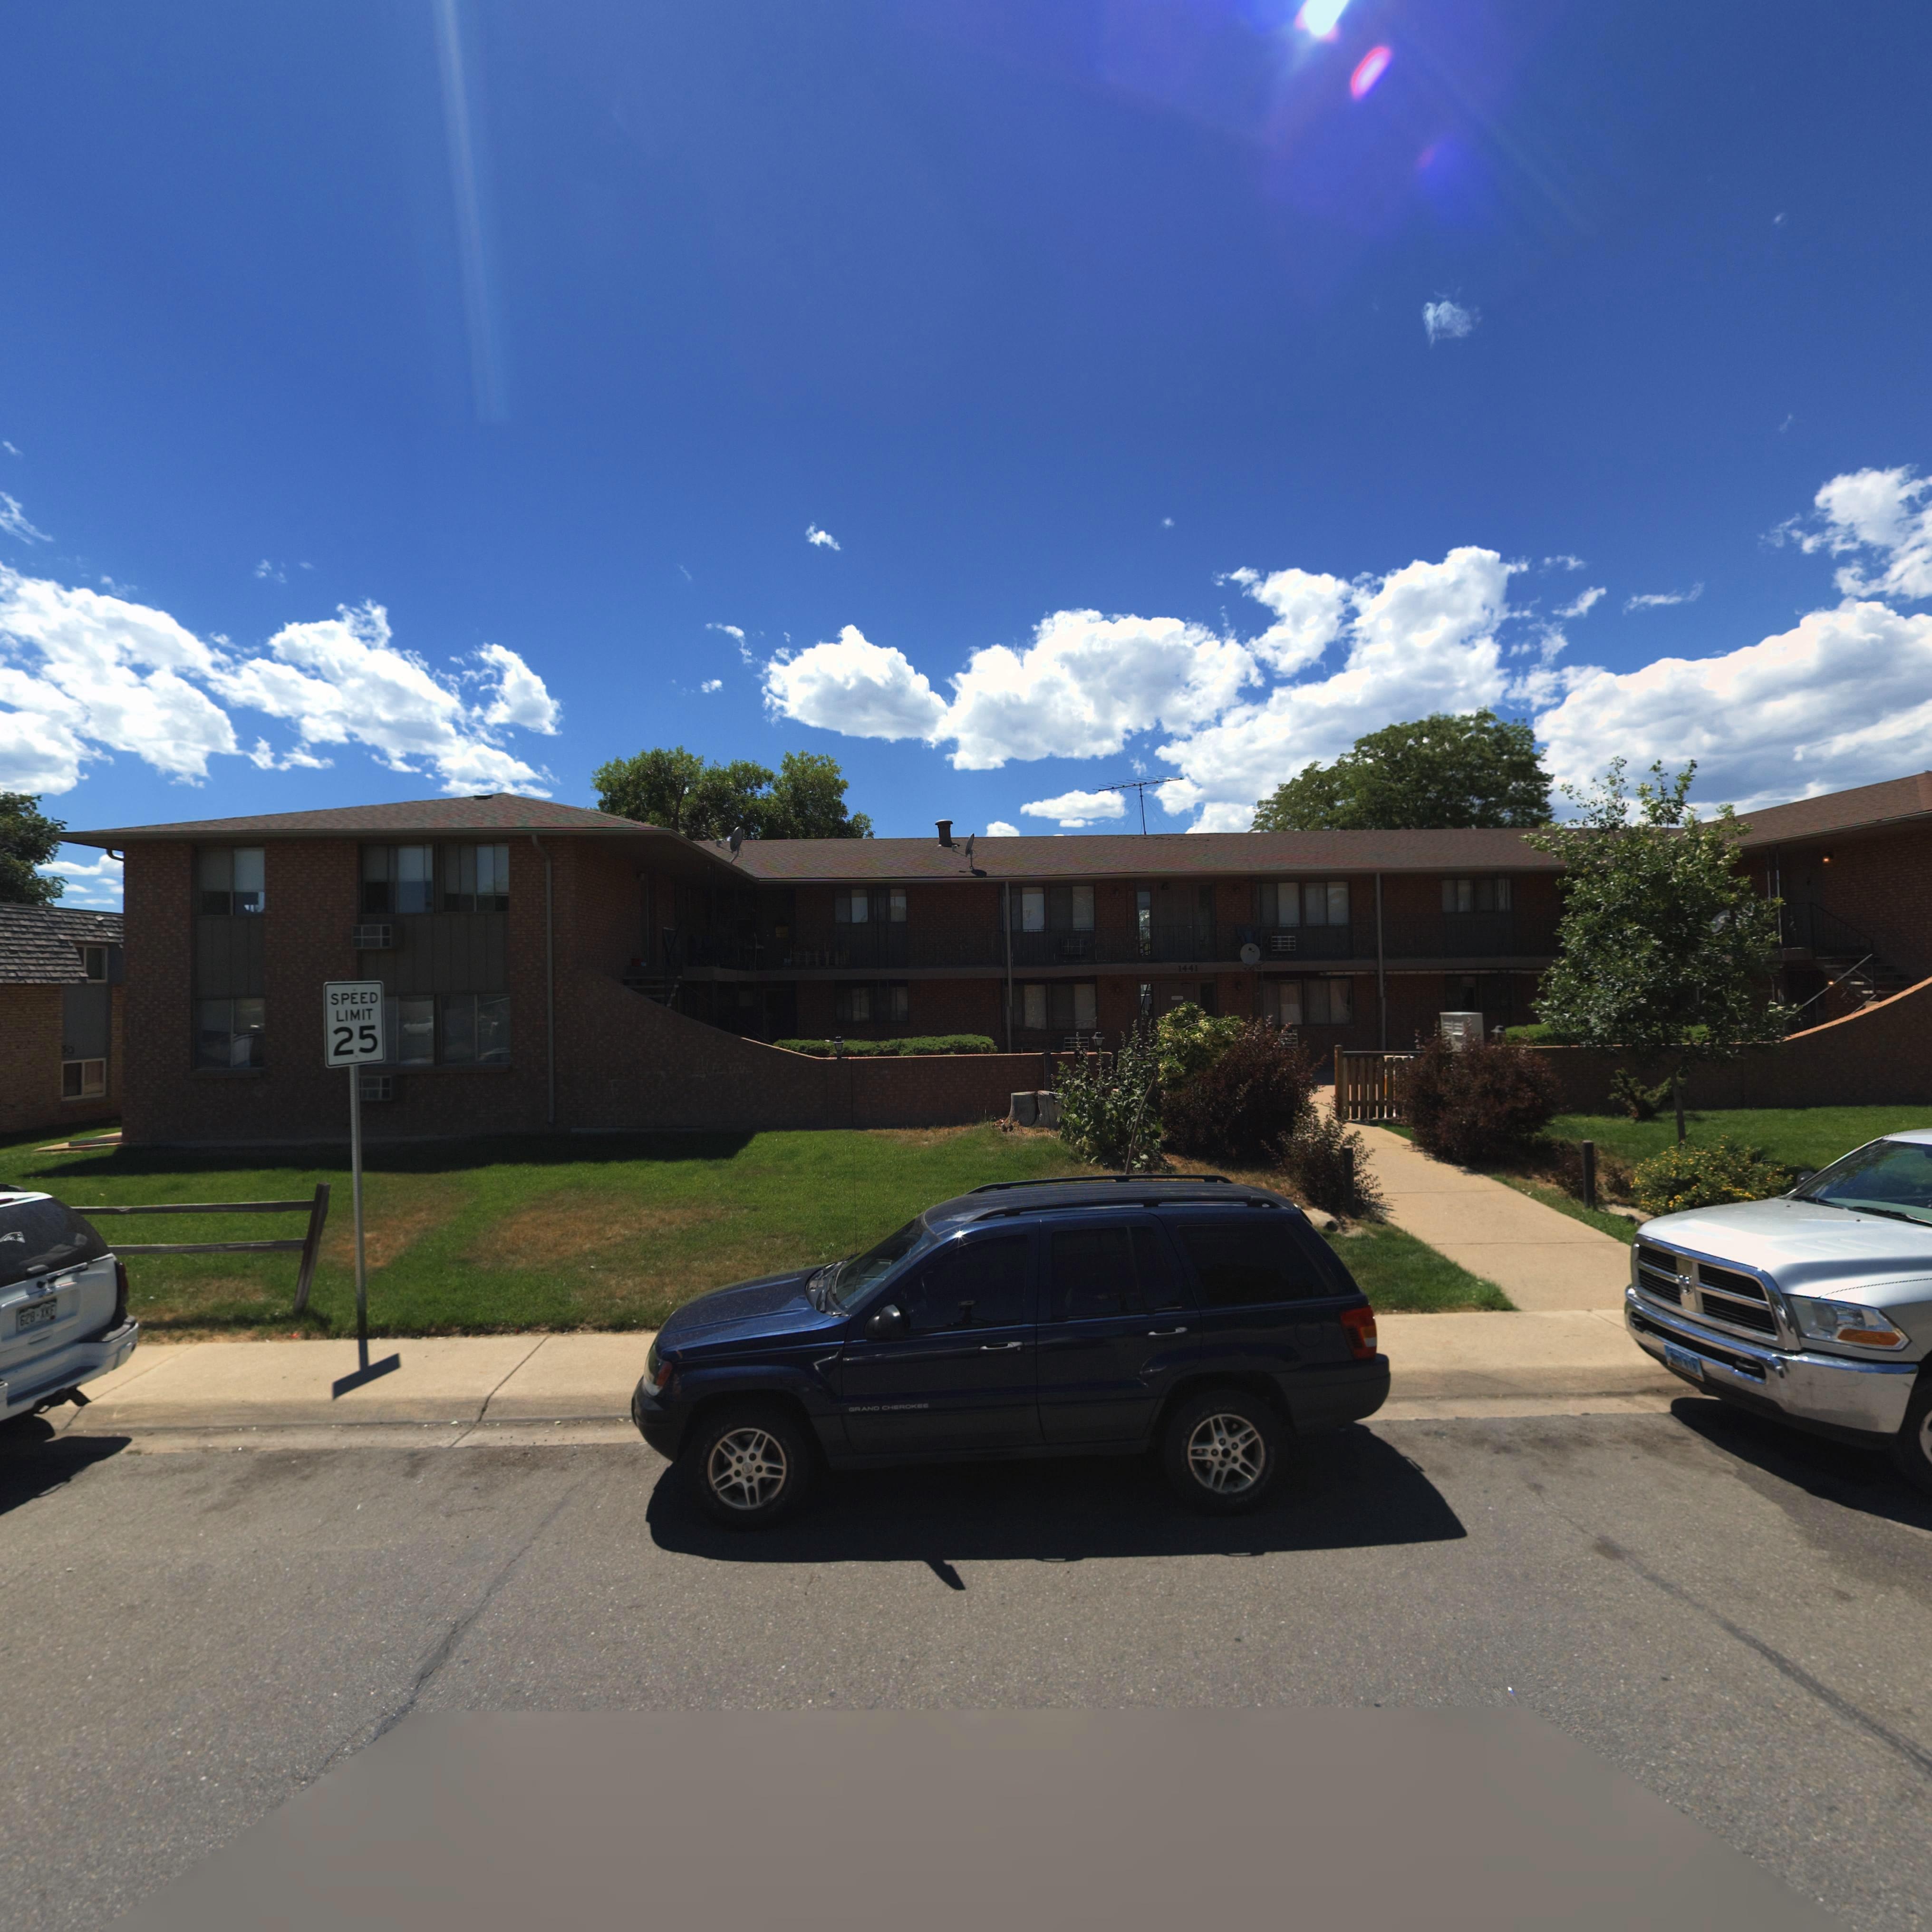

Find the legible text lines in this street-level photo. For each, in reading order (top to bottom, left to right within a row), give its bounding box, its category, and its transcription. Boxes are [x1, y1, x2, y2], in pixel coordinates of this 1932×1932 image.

[1178, 964, 1198, 972] StreetNumber: 1441